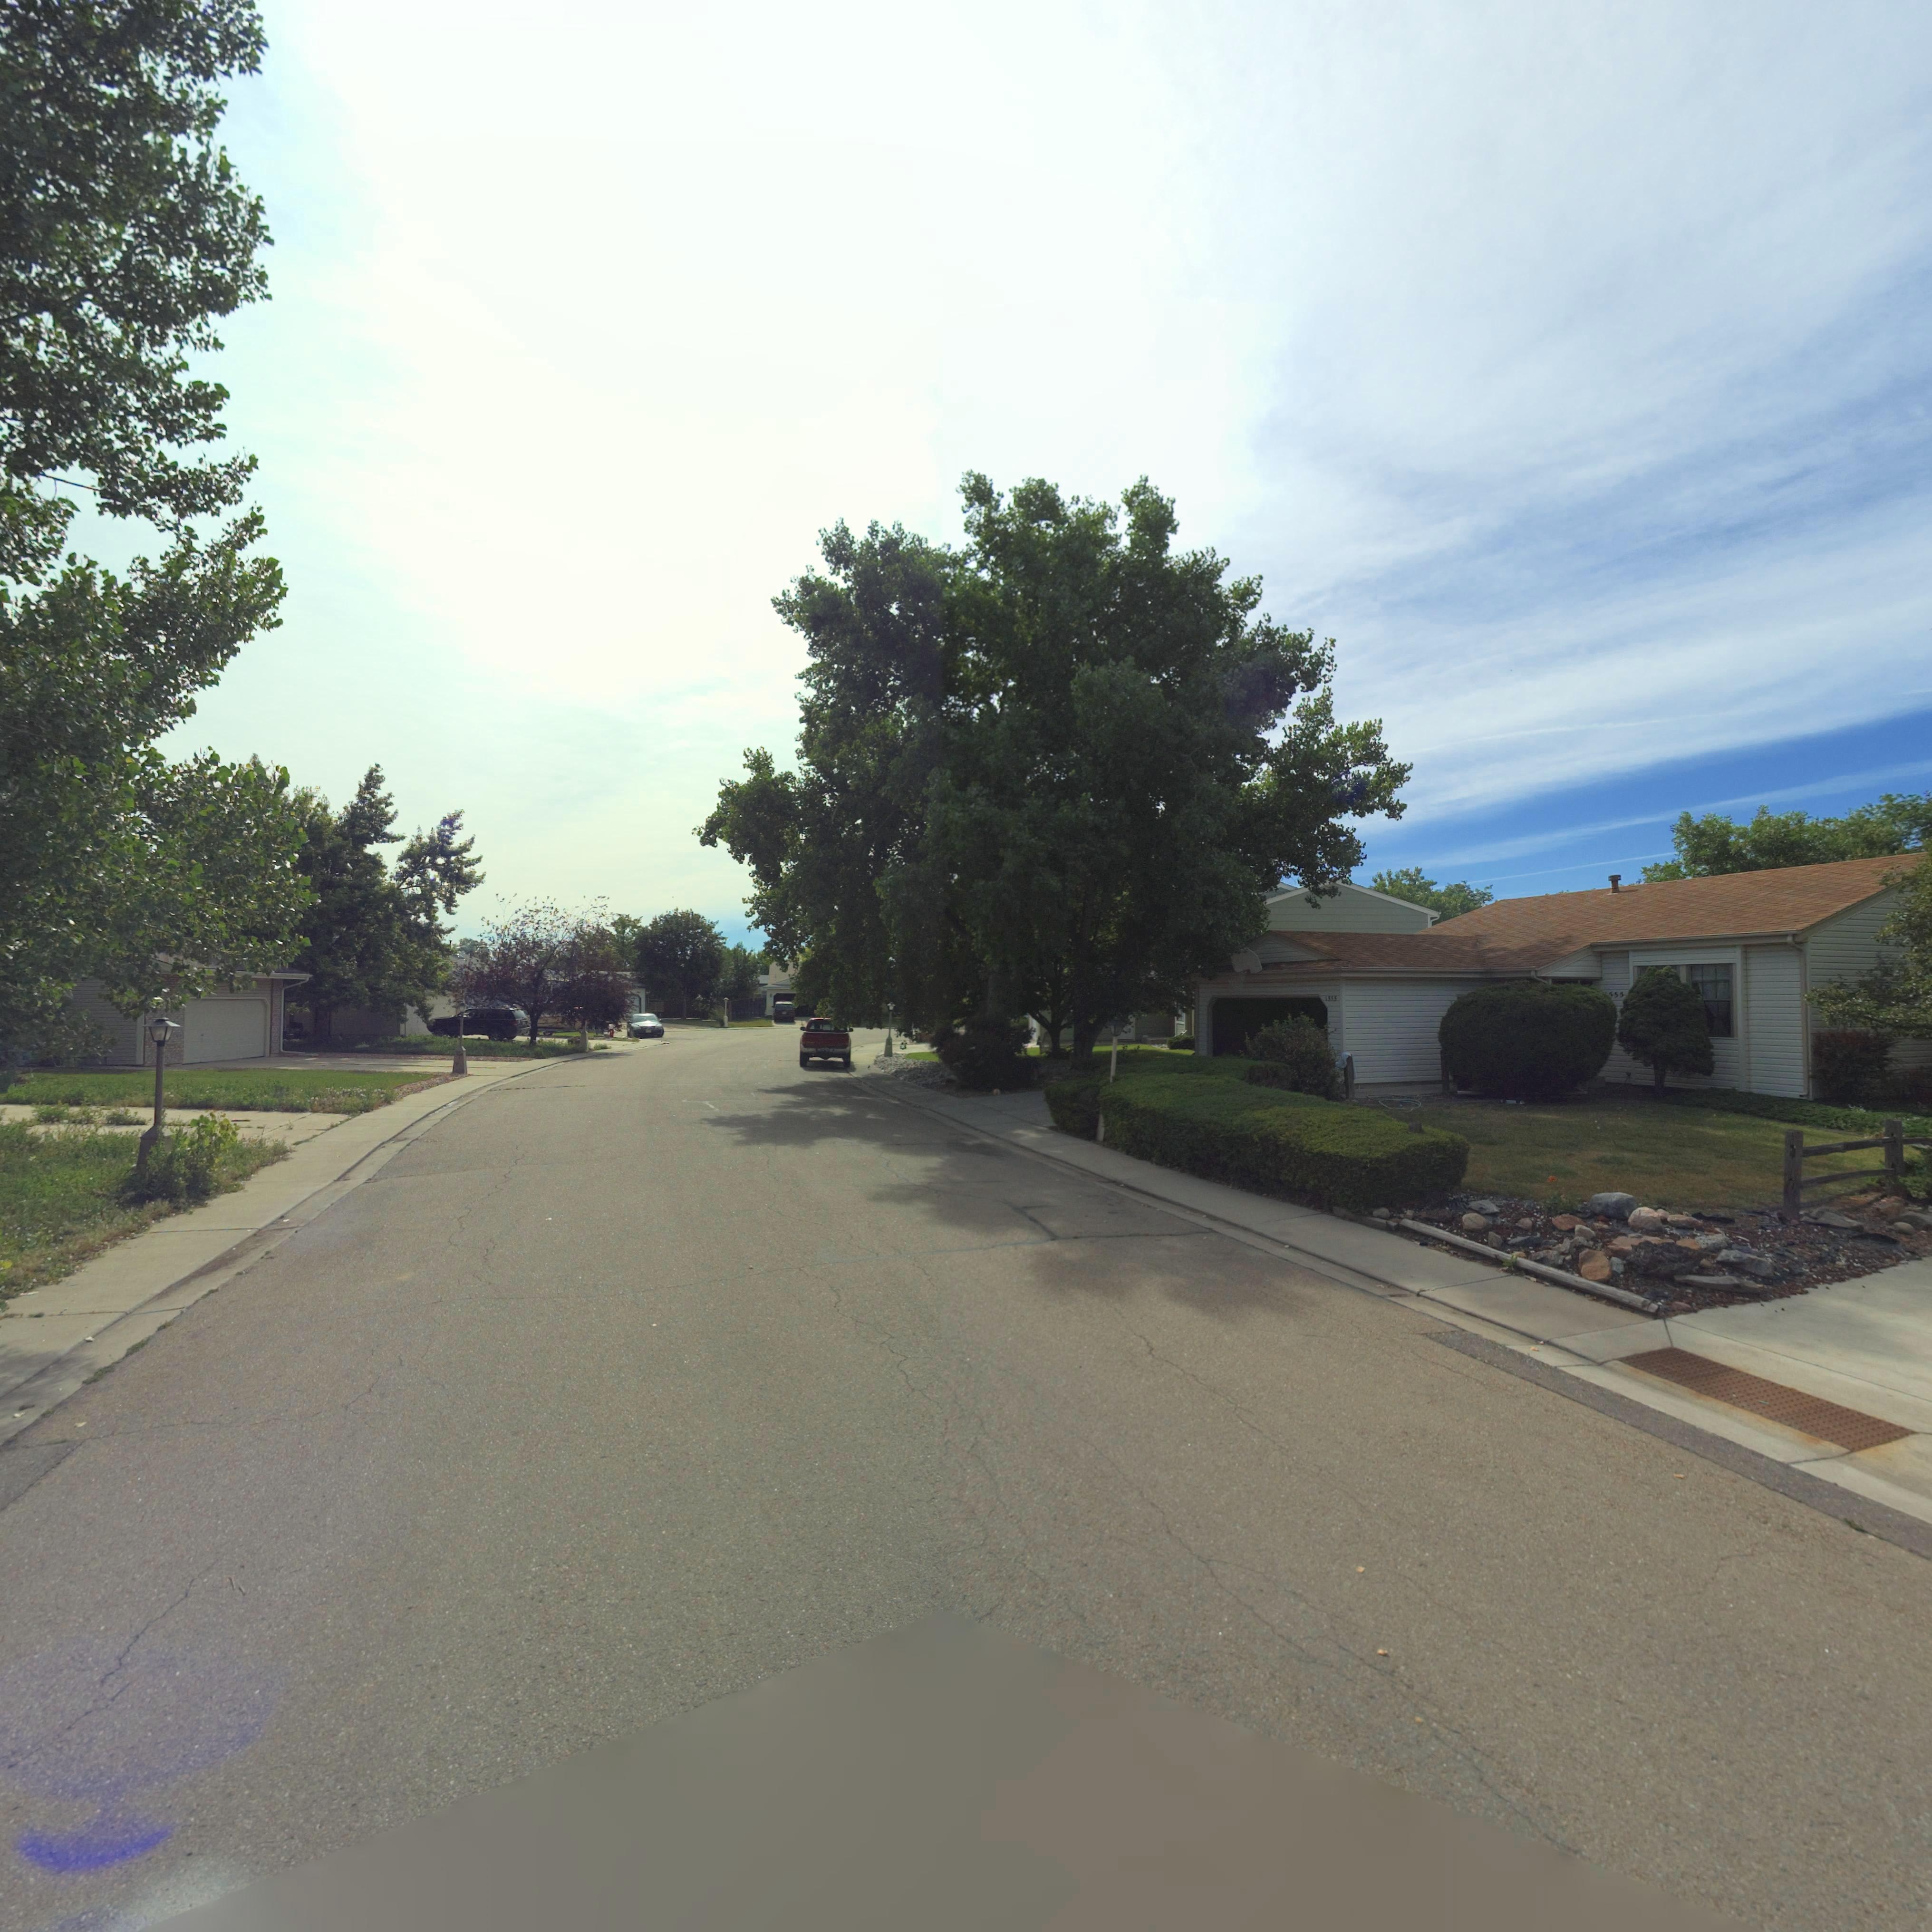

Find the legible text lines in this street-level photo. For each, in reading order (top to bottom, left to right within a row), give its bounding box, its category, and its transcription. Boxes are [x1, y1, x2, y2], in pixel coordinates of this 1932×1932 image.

[1608, 991, 1623, 998] StreetNumber: *55
[1325, 995, 1337, 1001] StreetNumber: 1555